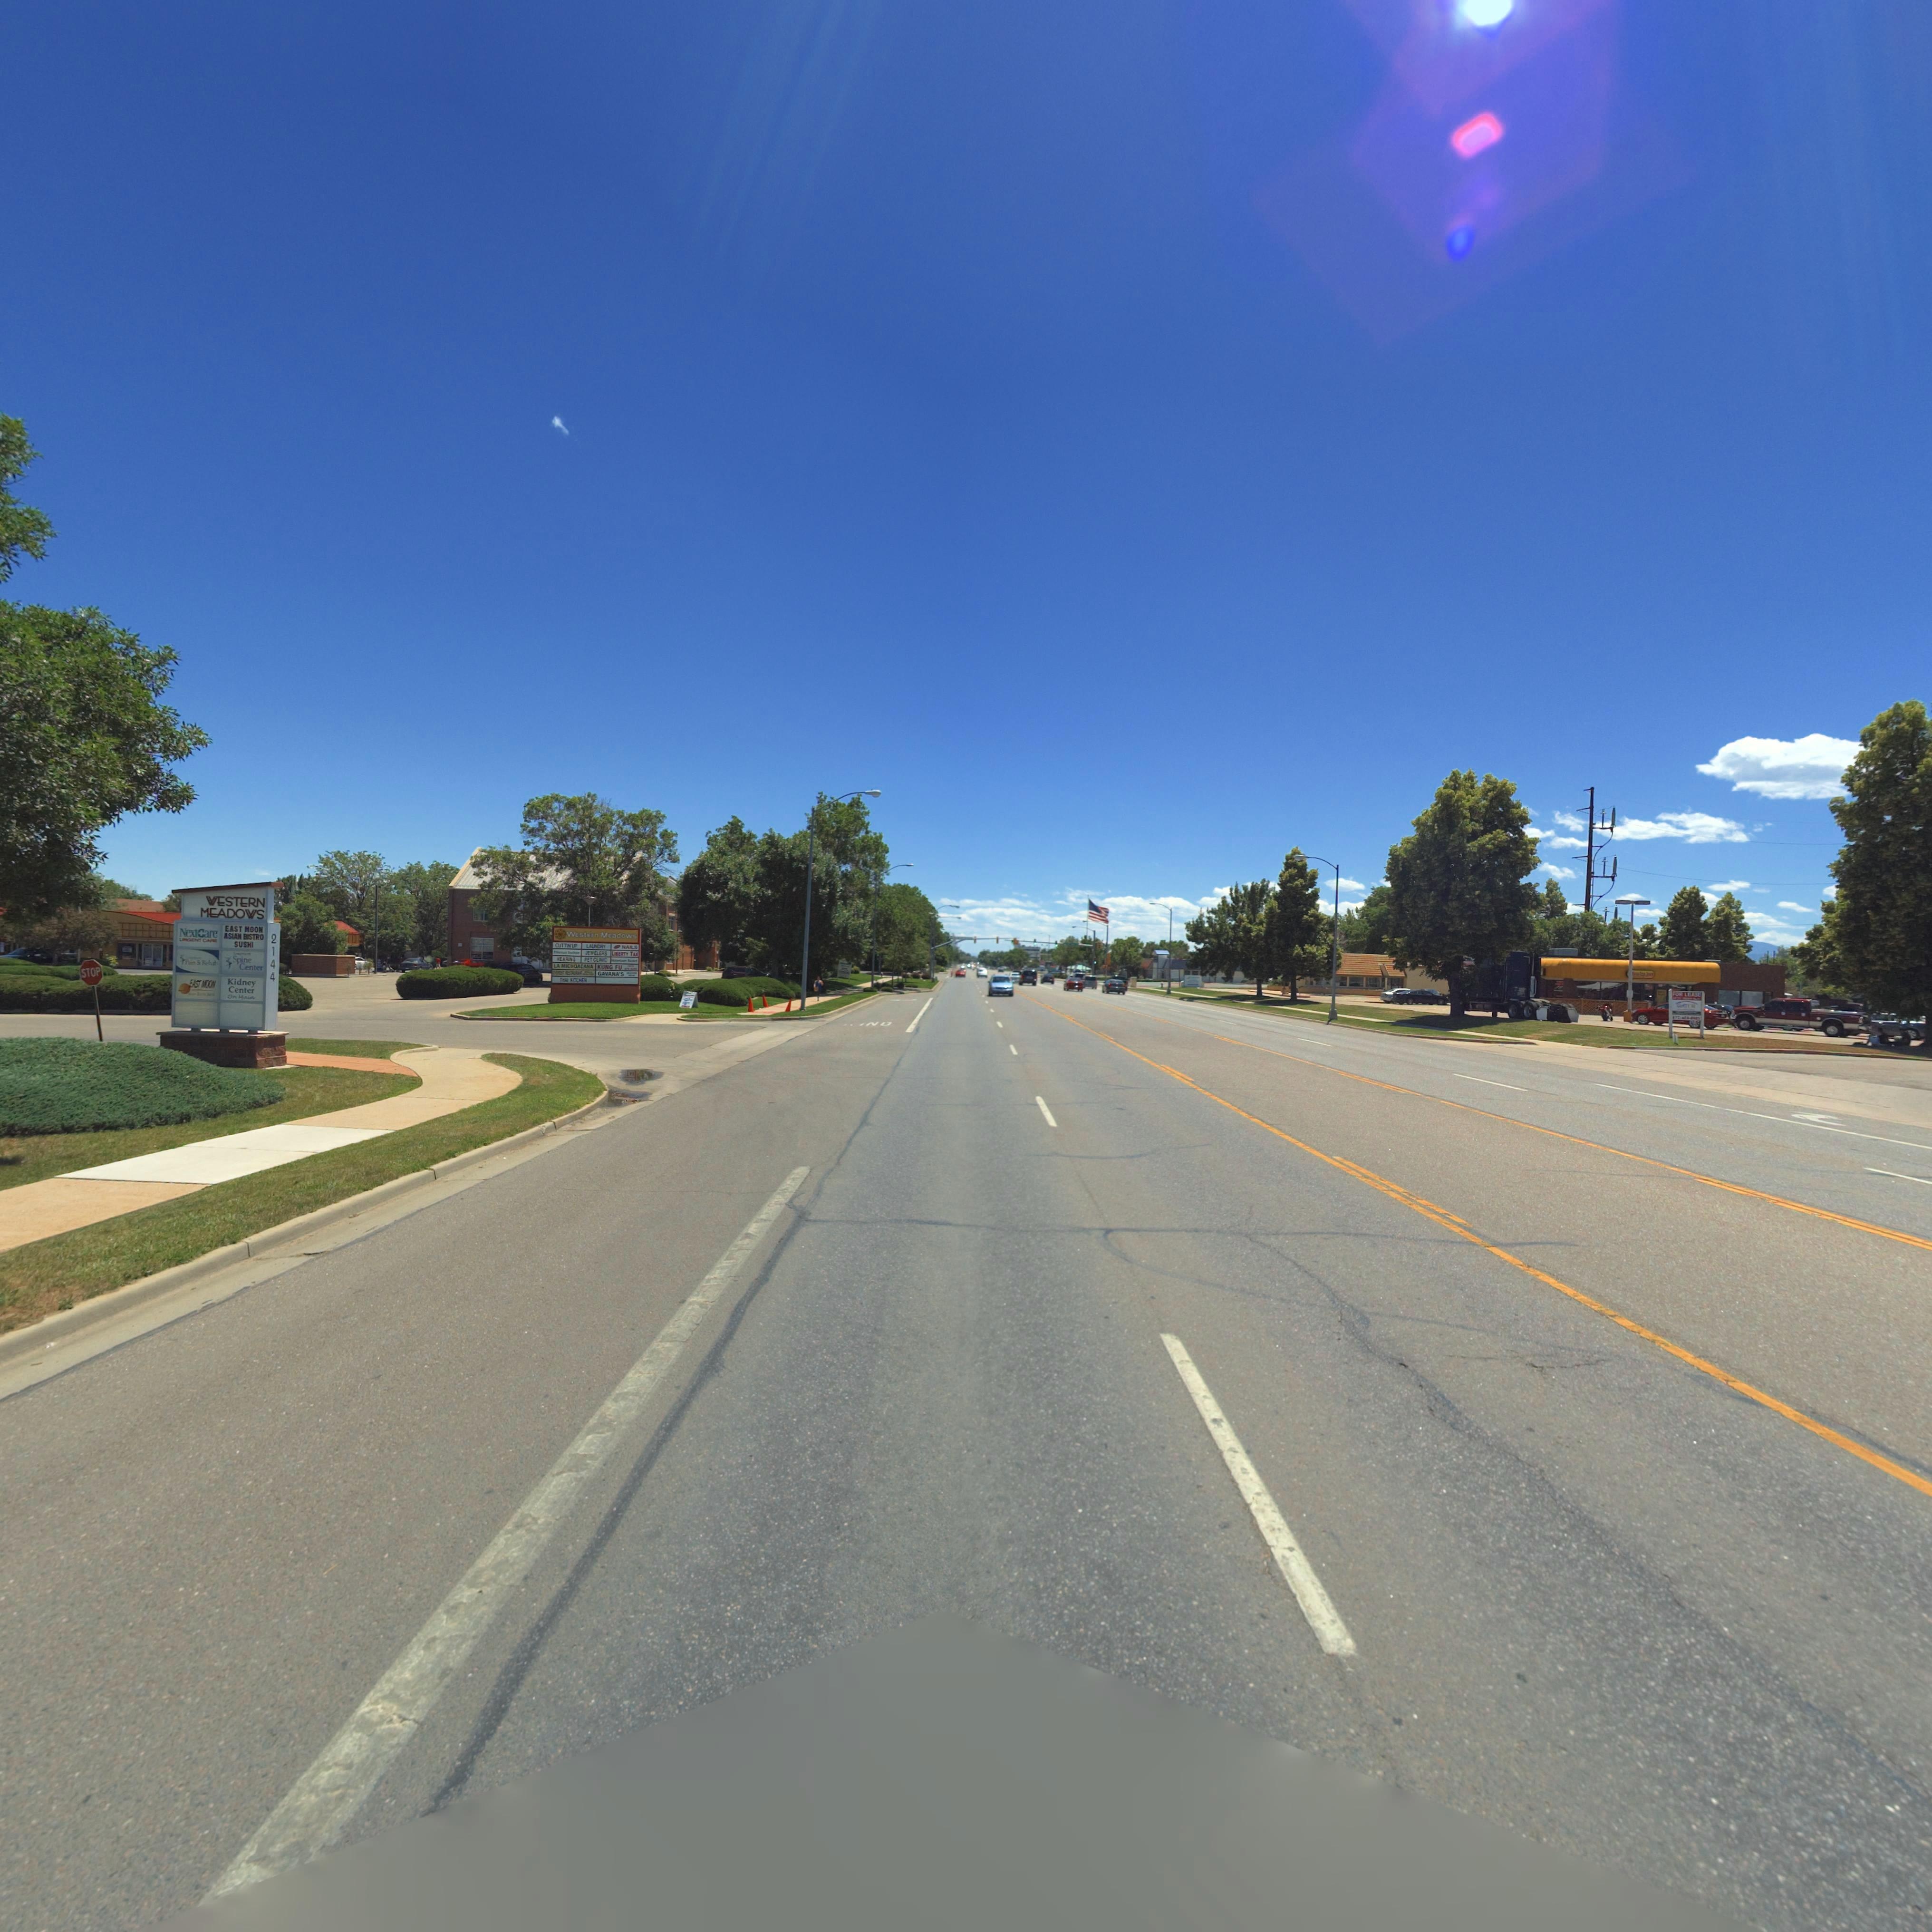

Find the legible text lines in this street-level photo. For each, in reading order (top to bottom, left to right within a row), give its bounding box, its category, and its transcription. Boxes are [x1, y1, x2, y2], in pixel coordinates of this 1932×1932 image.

[179, 927, 218, 938] BusinessName: NEXT CARE
[181, 937, 217, 943] BusinessName: ****NT CARE
[222, 932, 264, 940] BusinessName: ASIAN BISTRO
[224, 925, 263, 933] BusinessName: EAST MOON
[234, 940, 253, 948] BusinessName: SUSHI
[555, 943, 578, 948] BusinessName: CUTTIN UP
[233, 951, 251, 956] BusinessName: L*******
[611, 951, 638, 956] BusinessName: LIBERTY TAX
[184, 959, 218, 966] BusinessName: P*** & Rehab
[232, 955, 252, 965] BusinessName: Spine
[239, 962, 263, 971] BusinessName: Center
[269, 933, 277, 982] StreetNumber: 2144
[553, 963, 594, 969] BusinessName: LA MICHOACANA
[610, 958, 638, 962] BusinessName: H****** B*****
[551, 970, 583, 976] BusinessName: ******T RESTAURANT
[597, 971, 624, 976] BusinessName: GAVANA'S
[188, 979, 218, 989] BusinessName: EAST *OO*
[227, 977, 256, 988] BusinessName: Kidney
[228, 985, 255, 994] BusinessName: Center